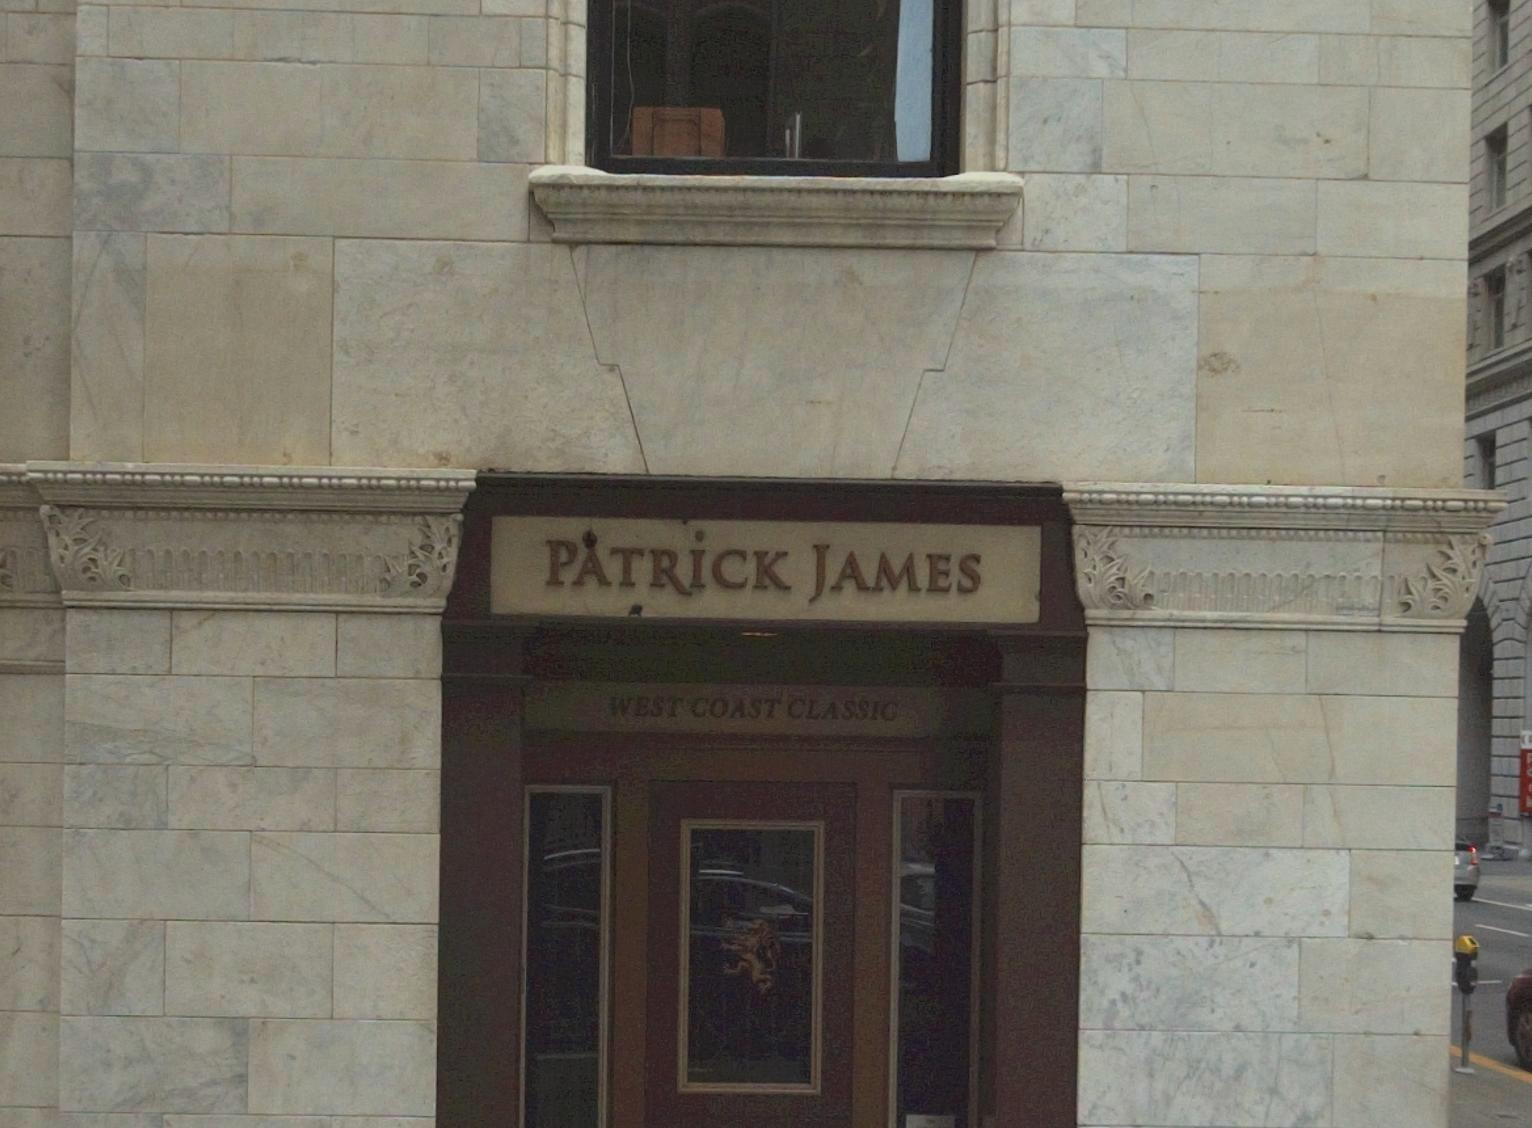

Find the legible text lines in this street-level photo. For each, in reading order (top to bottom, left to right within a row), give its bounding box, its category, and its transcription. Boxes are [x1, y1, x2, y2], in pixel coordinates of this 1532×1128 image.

[540, 536, 986, 608] BusinessName: PATRICK JAMES
[606, 693, 903, 725] BusinessName: WEST COAST CLASSIC